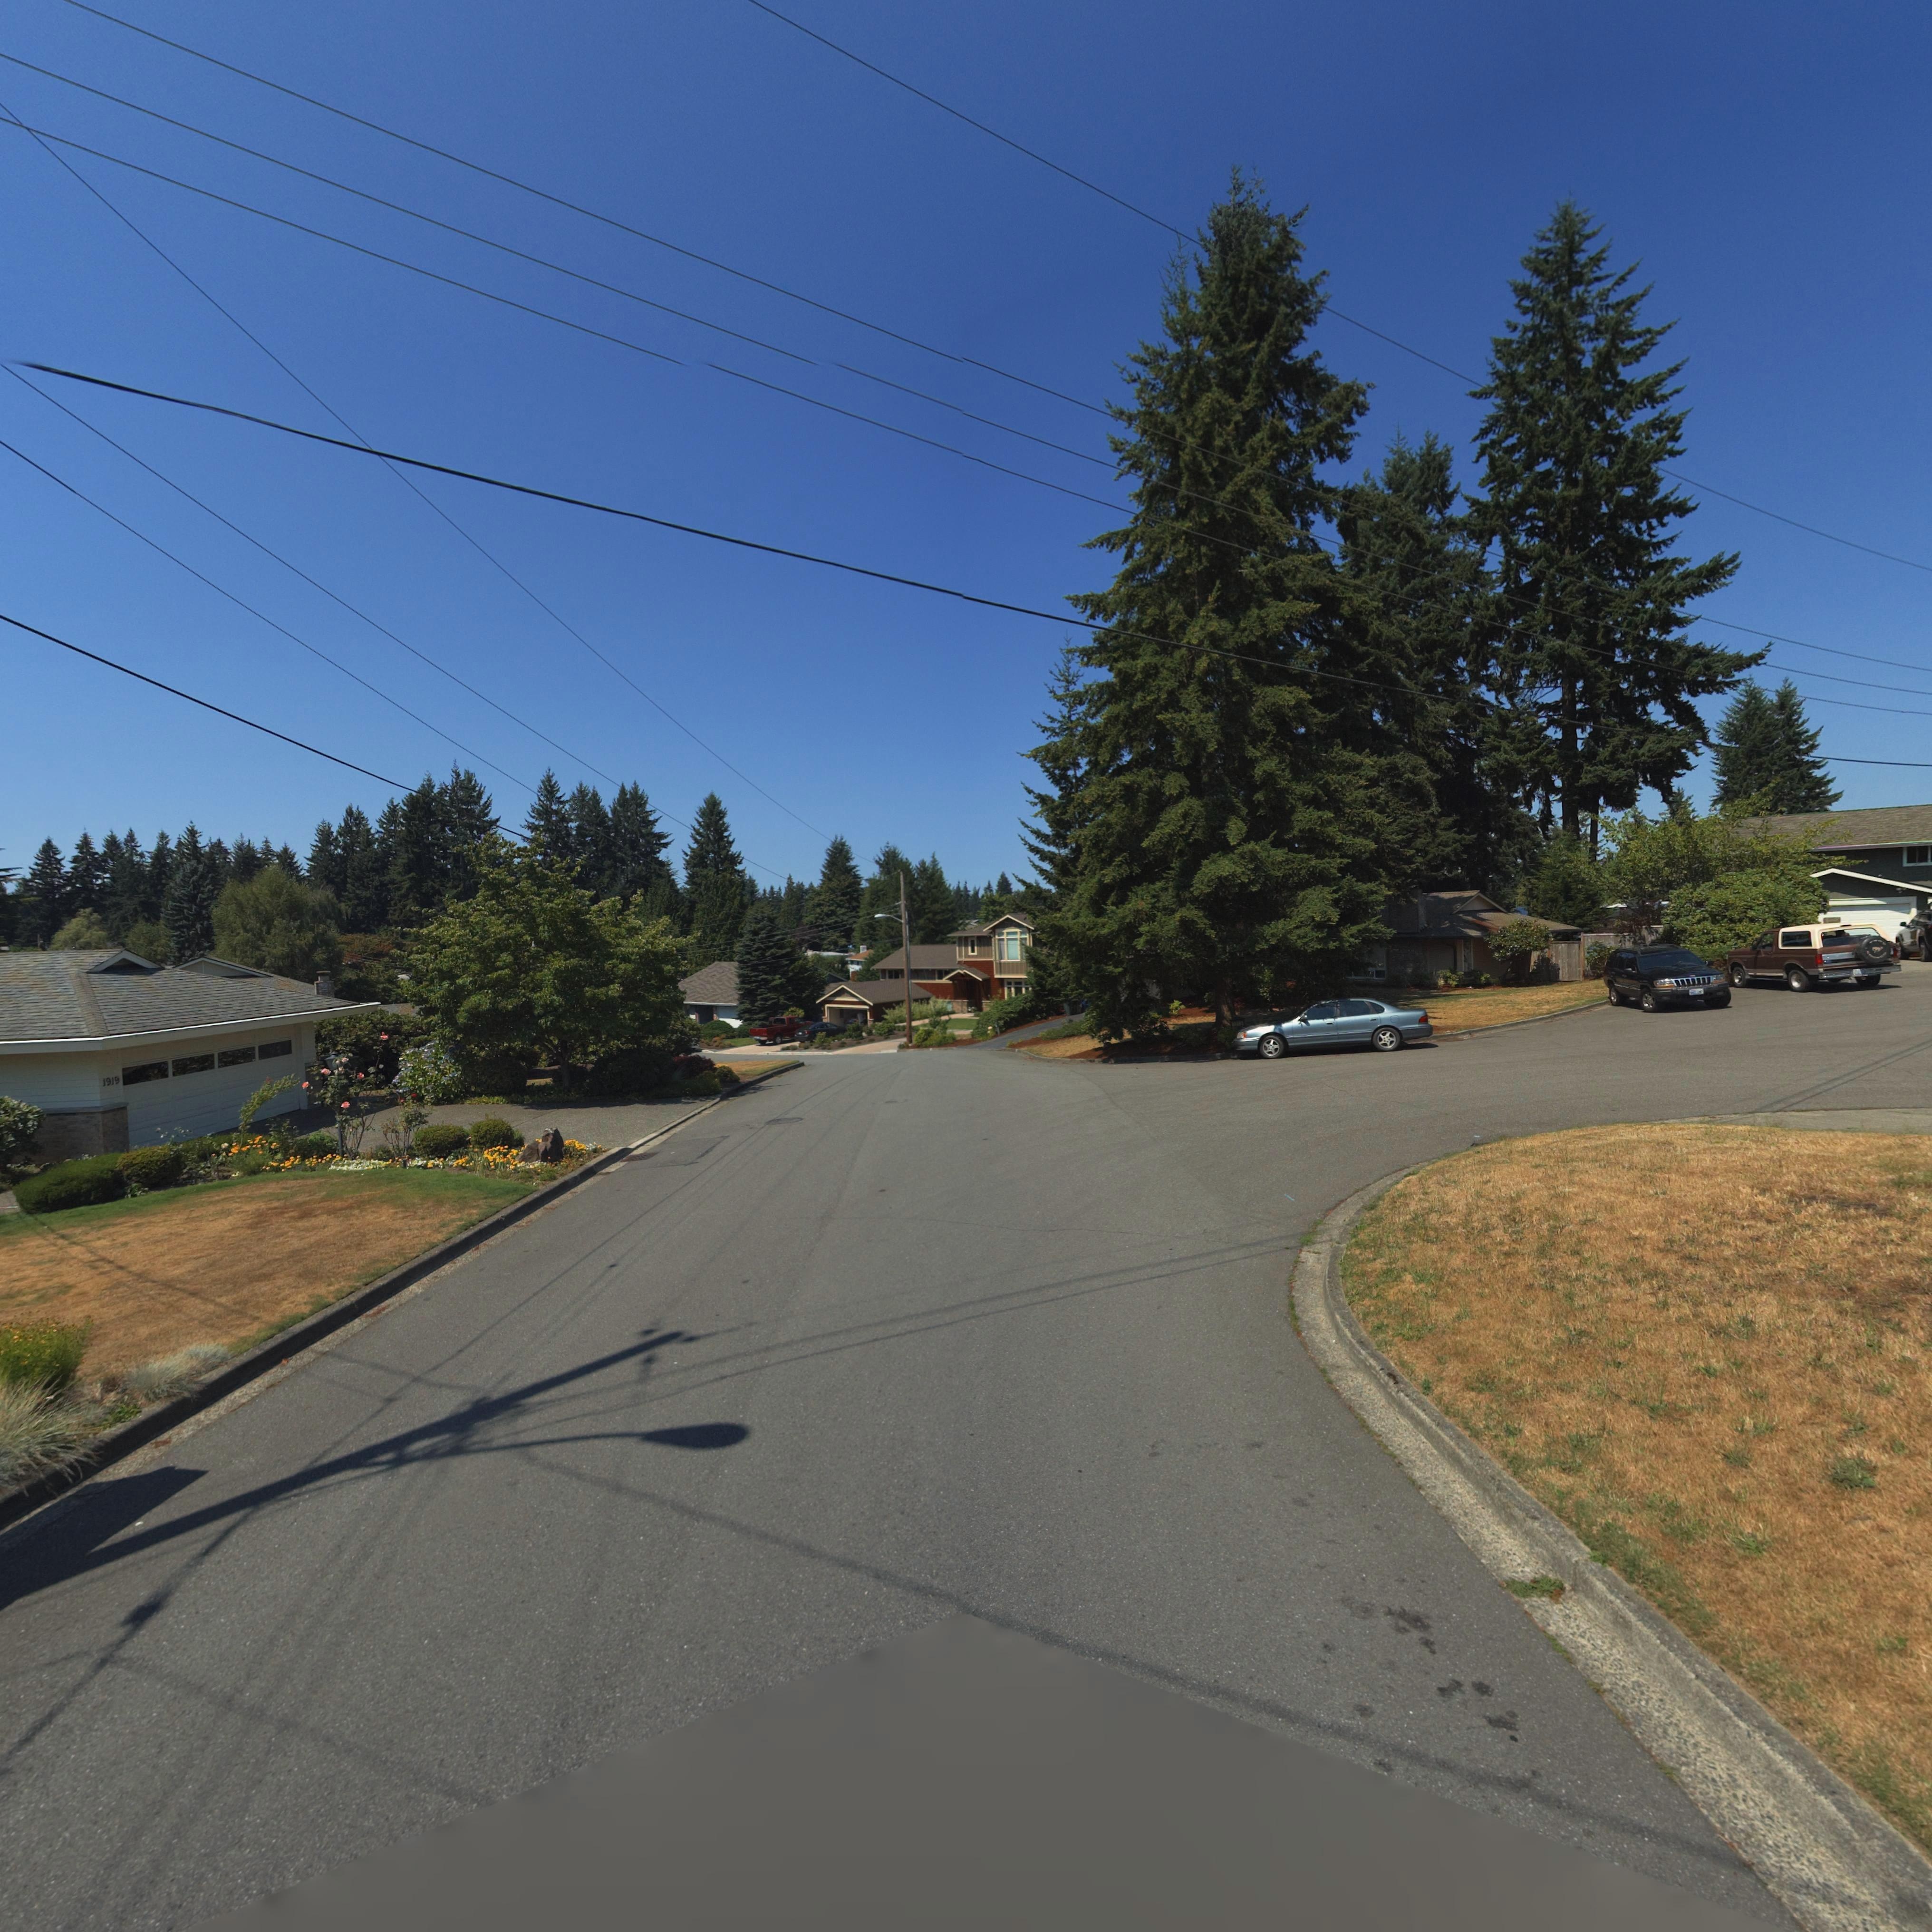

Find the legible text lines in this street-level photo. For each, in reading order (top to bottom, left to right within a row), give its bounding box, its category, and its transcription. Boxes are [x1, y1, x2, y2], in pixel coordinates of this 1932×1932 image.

[102, 1075, 120, 1087] StreetNumber: 1919